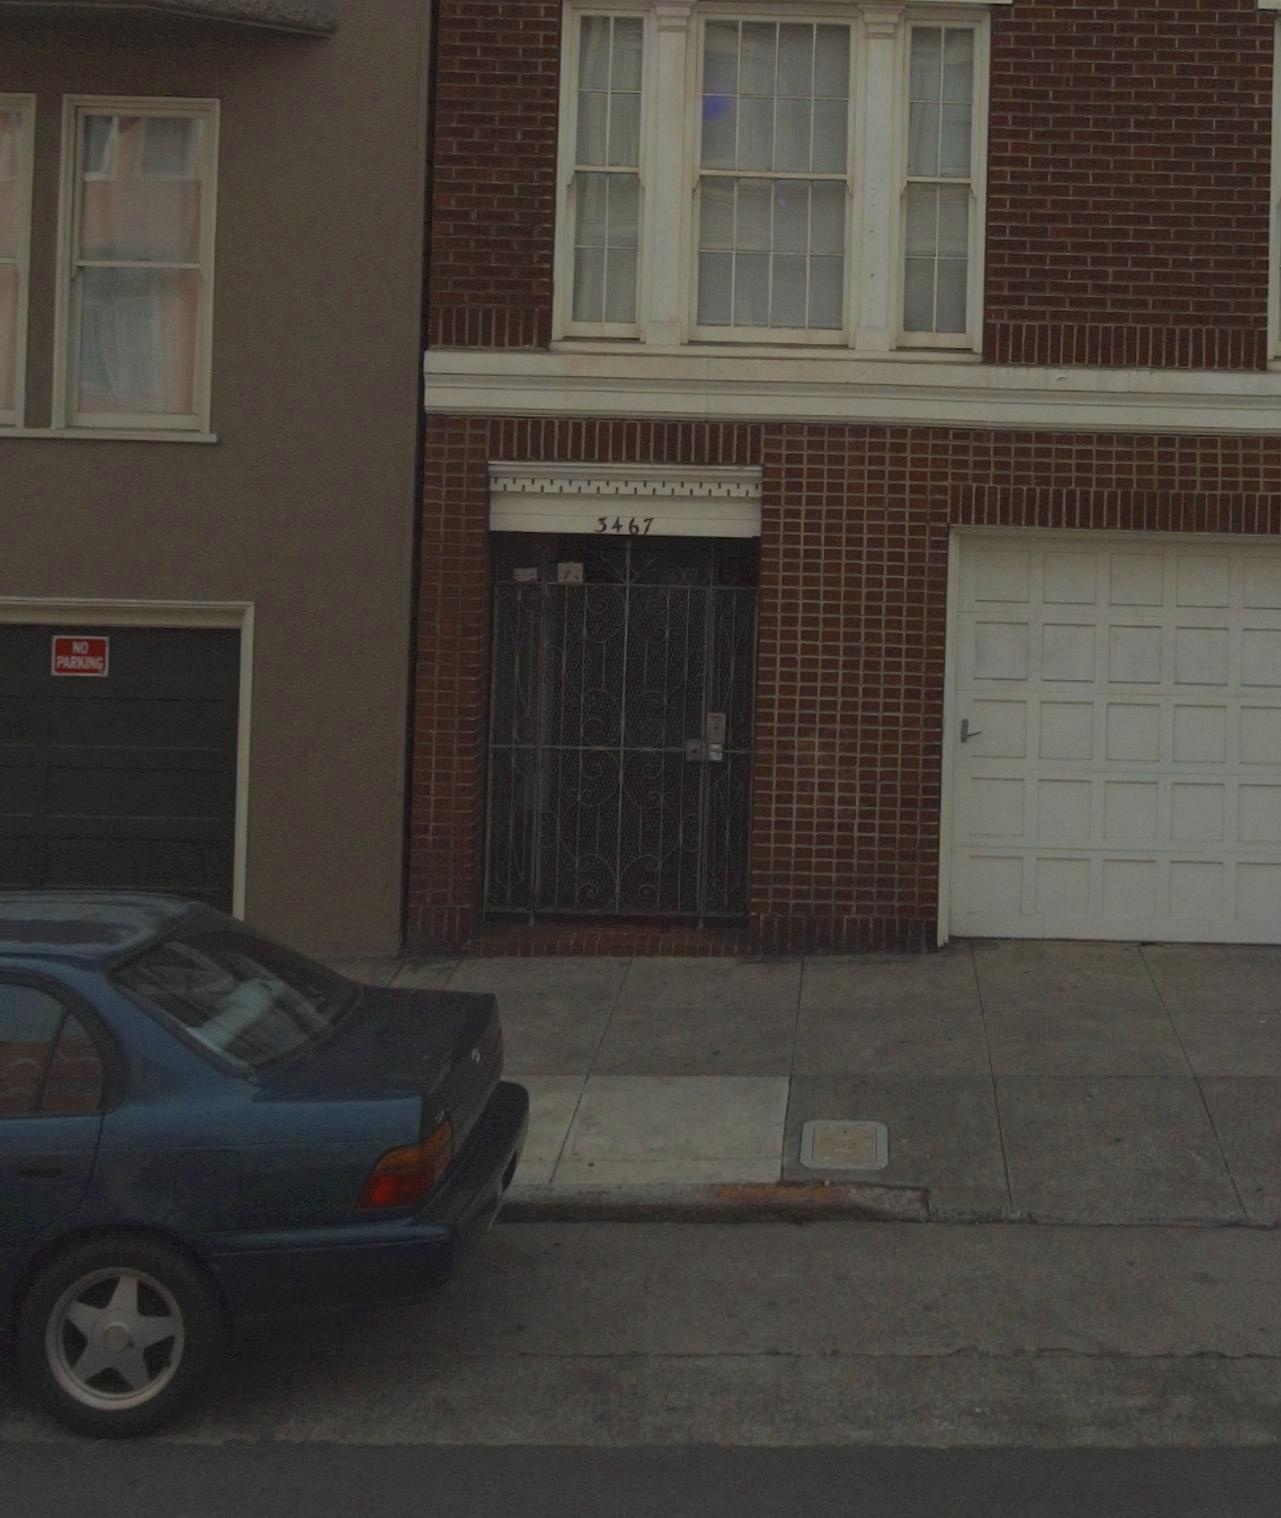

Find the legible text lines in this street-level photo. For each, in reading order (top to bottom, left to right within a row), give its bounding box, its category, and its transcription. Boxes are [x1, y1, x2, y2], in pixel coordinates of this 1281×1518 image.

[594, 514, 657, 537] StreetNumber: 3467
[70, 640, 91, 655] None: NO
[55, 654, 105, 670] None: PARKING